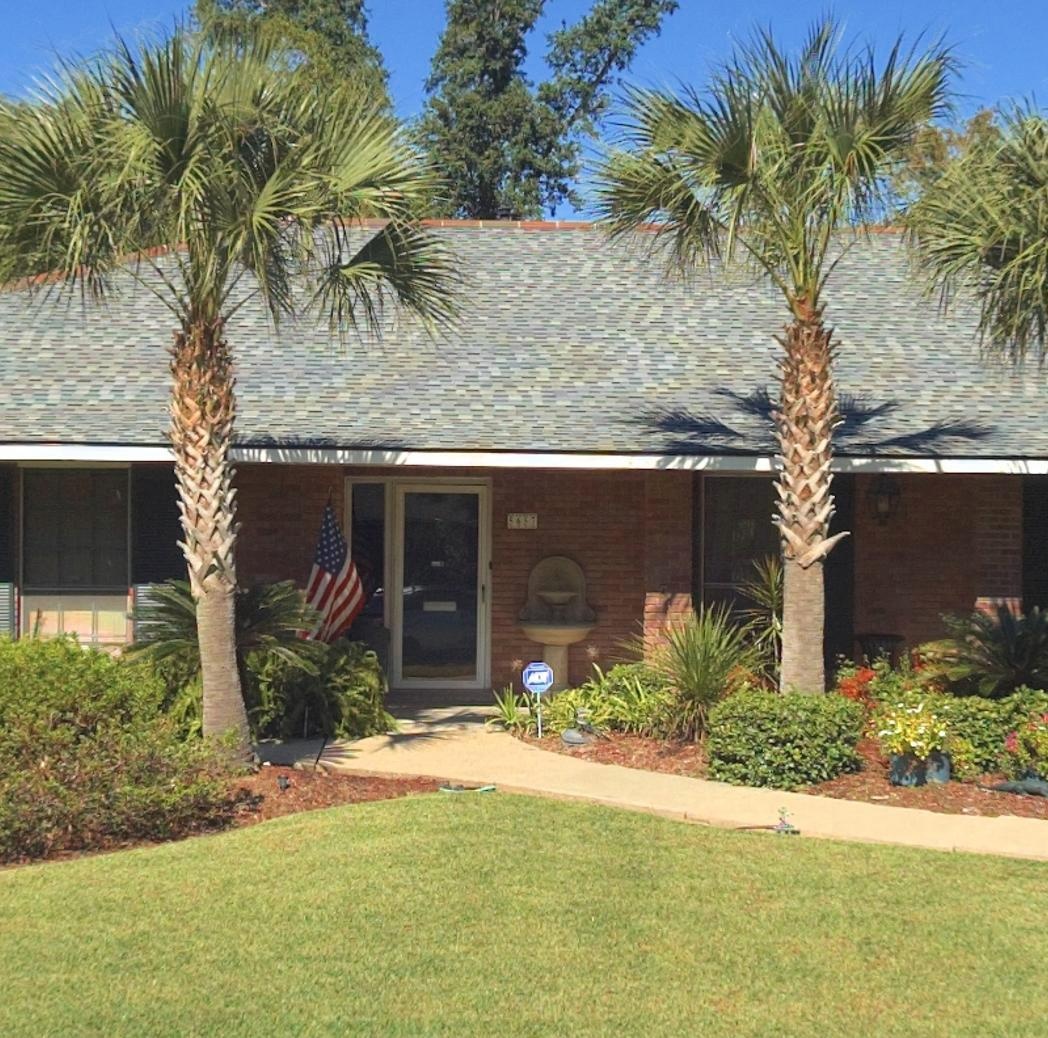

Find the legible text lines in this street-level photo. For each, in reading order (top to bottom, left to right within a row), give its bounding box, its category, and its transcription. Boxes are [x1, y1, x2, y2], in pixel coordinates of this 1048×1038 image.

[507, 514, 537, 528] StreetNumber: 5657